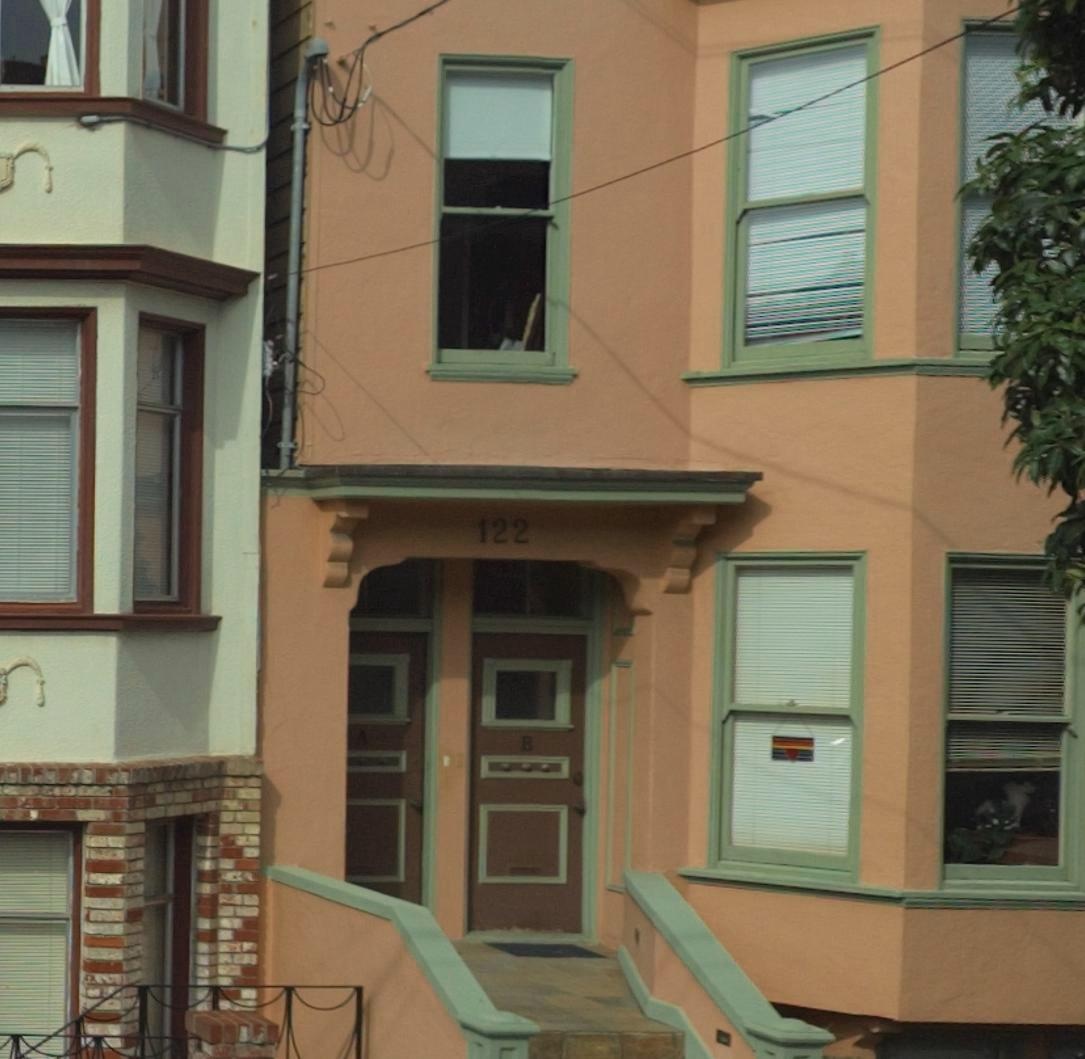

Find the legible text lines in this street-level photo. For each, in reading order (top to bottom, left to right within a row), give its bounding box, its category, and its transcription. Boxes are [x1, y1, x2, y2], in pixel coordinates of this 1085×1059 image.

[474, 518, 531, 545] StreetNumber: 122